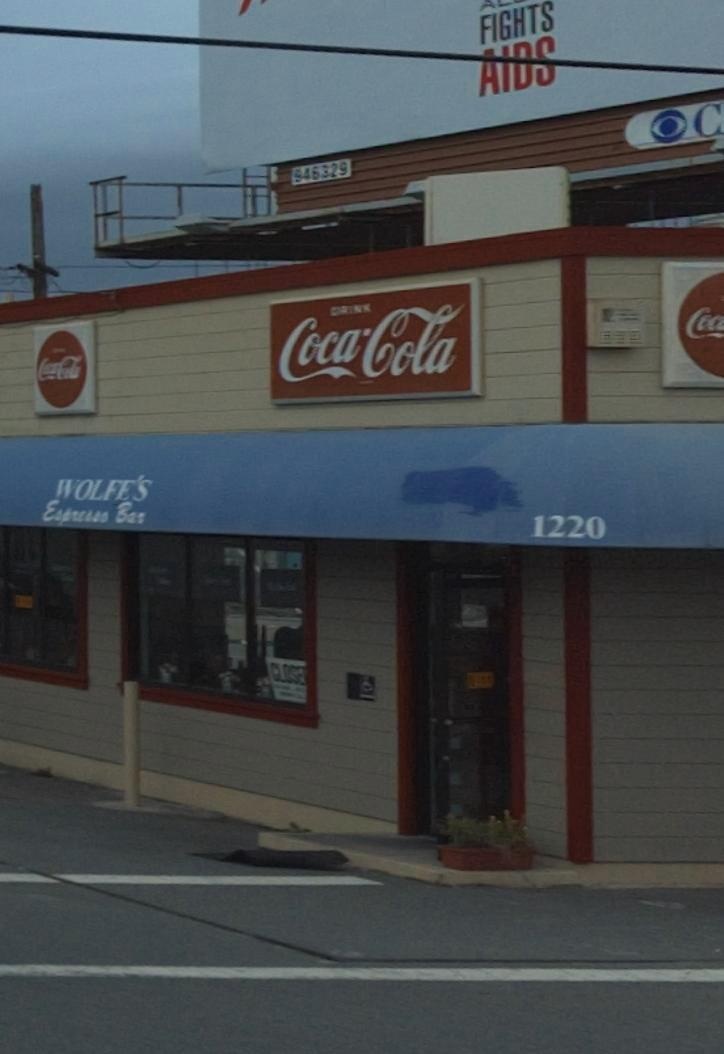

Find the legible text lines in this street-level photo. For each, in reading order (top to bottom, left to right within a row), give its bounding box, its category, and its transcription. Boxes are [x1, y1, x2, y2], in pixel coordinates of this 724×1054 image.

[480, 0, 556, 47] None: FIGHT*
[476, 33, 559, 98] None: AIDS
[691, 101, 723, 137] None: C
[293, 160, 347, 184] None: 946329
[329, 301, 373, 318] None: DRINK
[51, 471, 155, 502] BusinessName: WOLFE'S
[39, 498, 148, 525] None: E*press Bar
[532, 514, 608, 539] StreetNumber: 1220
[269, 660, 305, 686] None: CLOSE